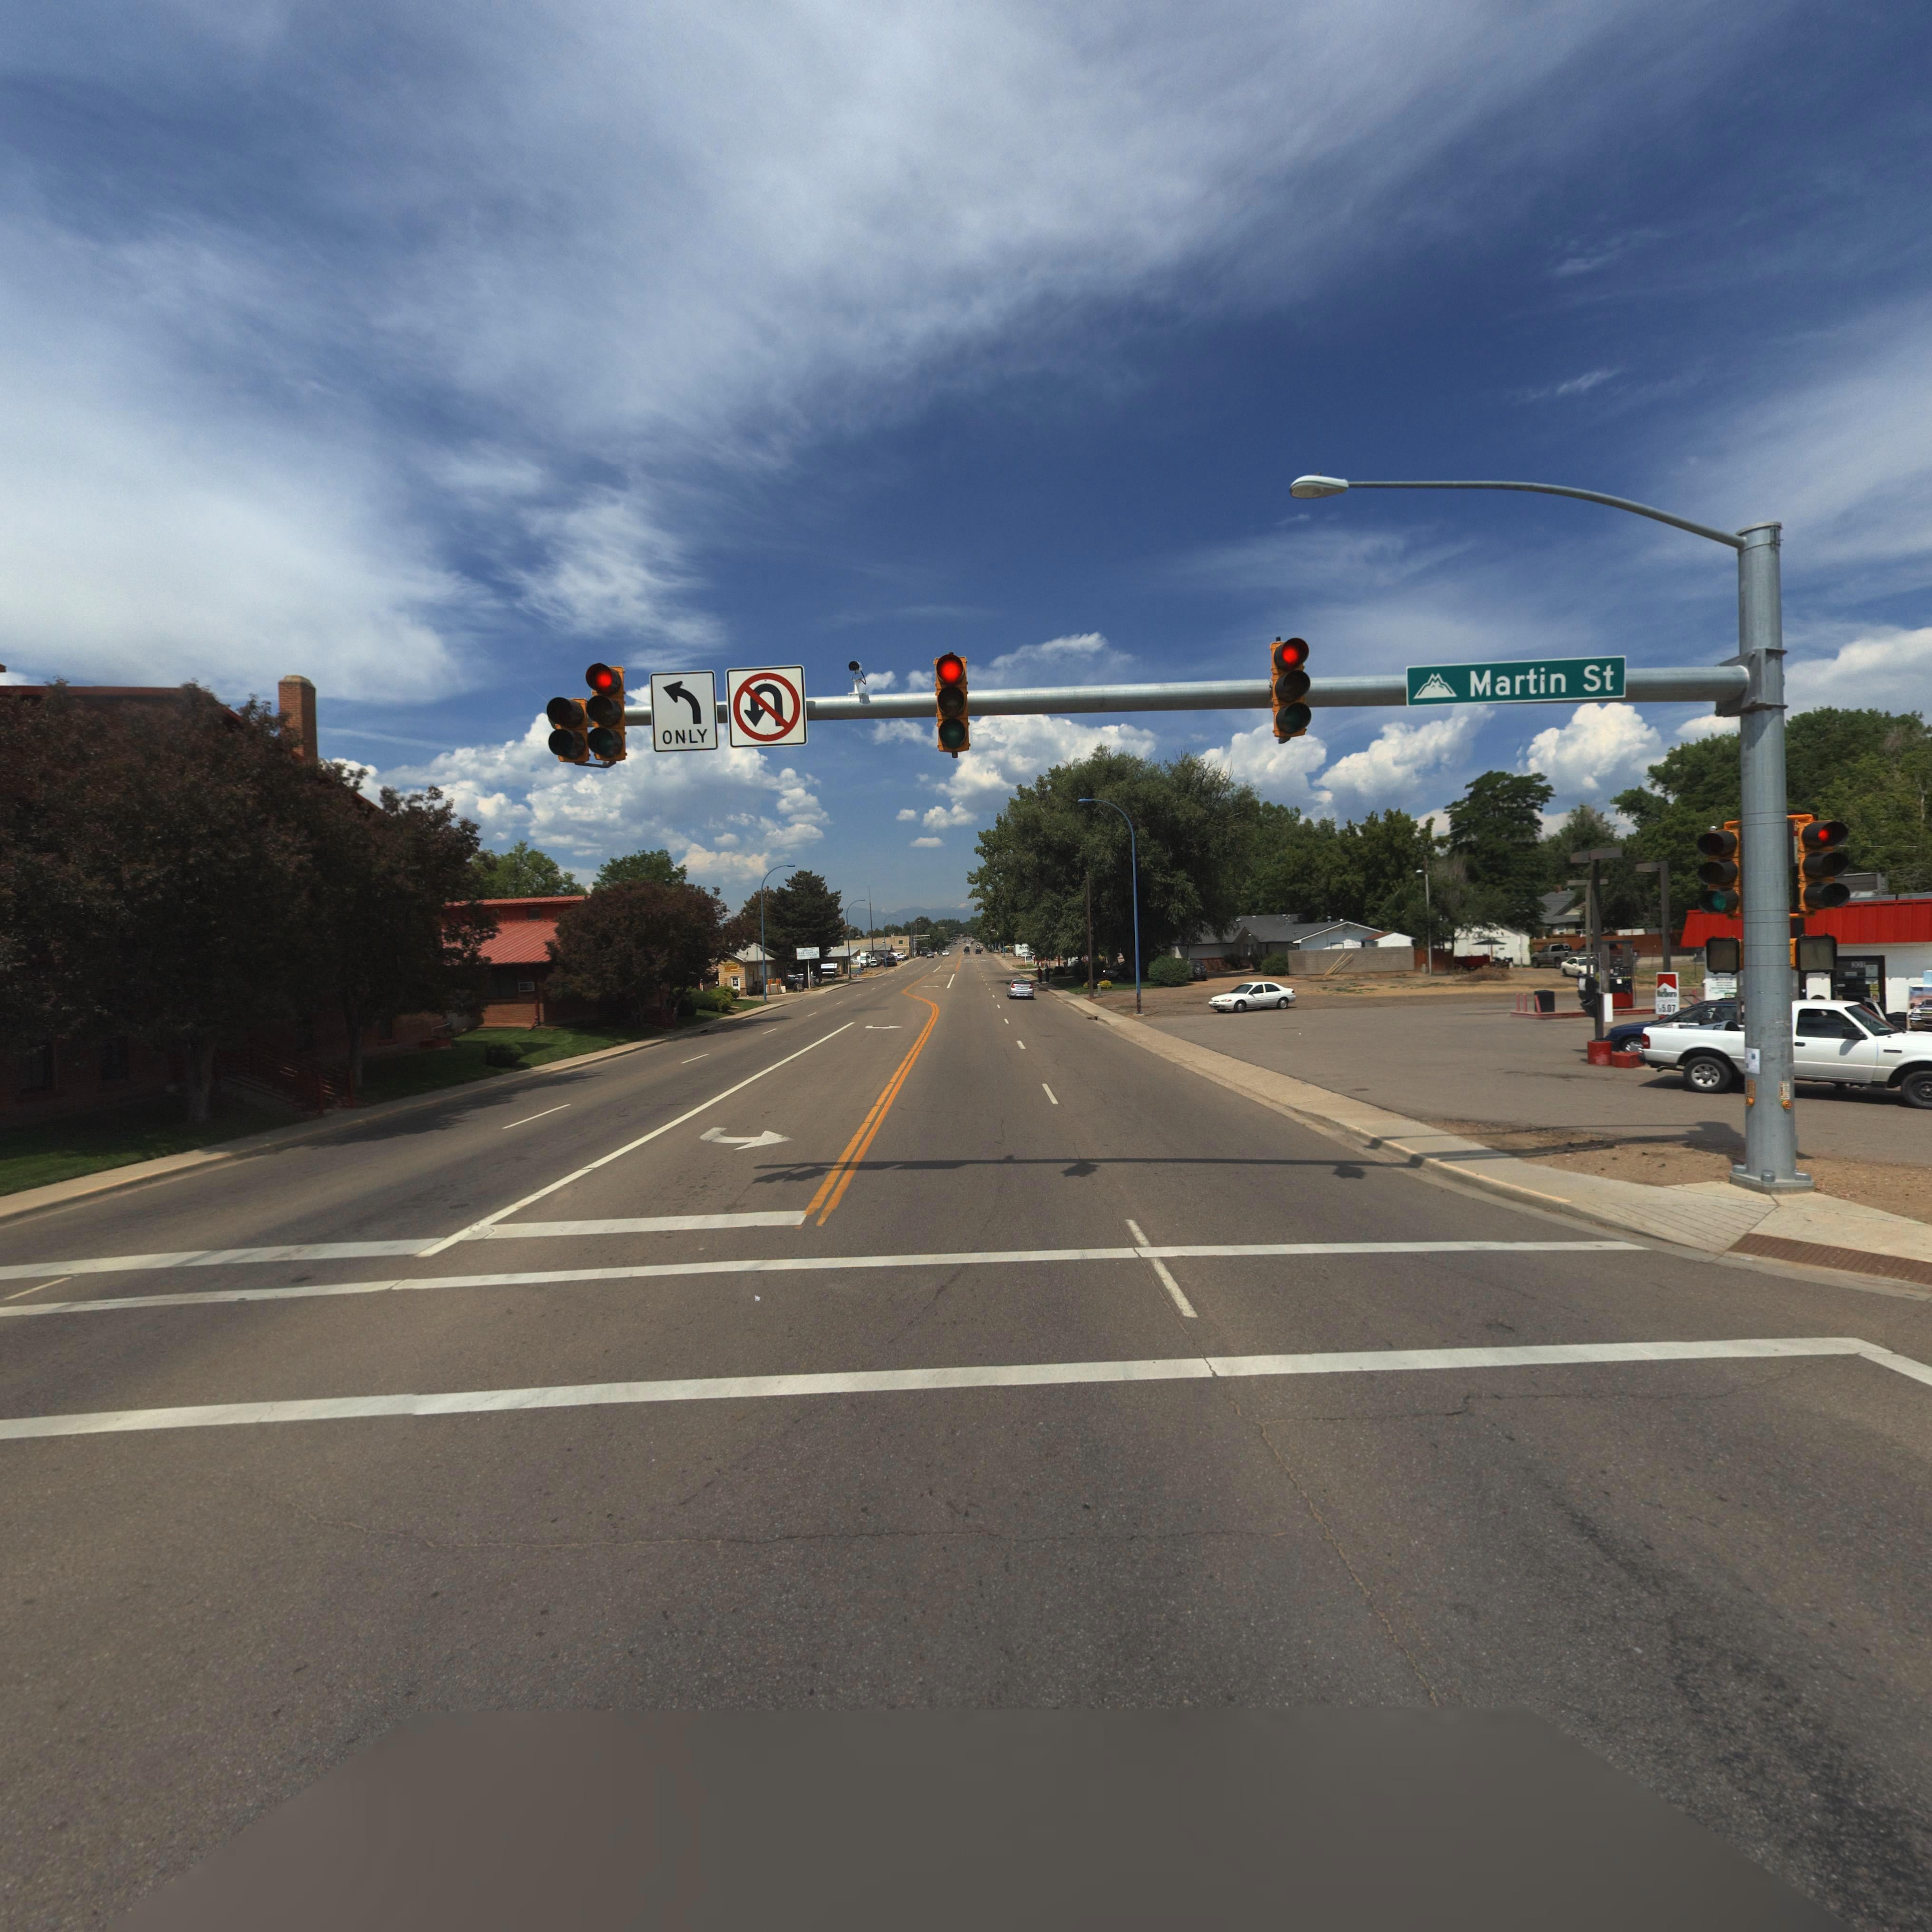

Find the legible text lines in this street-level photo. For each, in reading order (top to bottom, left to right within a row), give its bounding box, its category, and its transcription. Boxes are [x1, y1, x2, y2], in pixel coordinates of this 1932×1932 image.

[1468, 663, 1615, 698] StreetName: Martin St
[1851, 961, 1866, 968] StreetNumber: 301